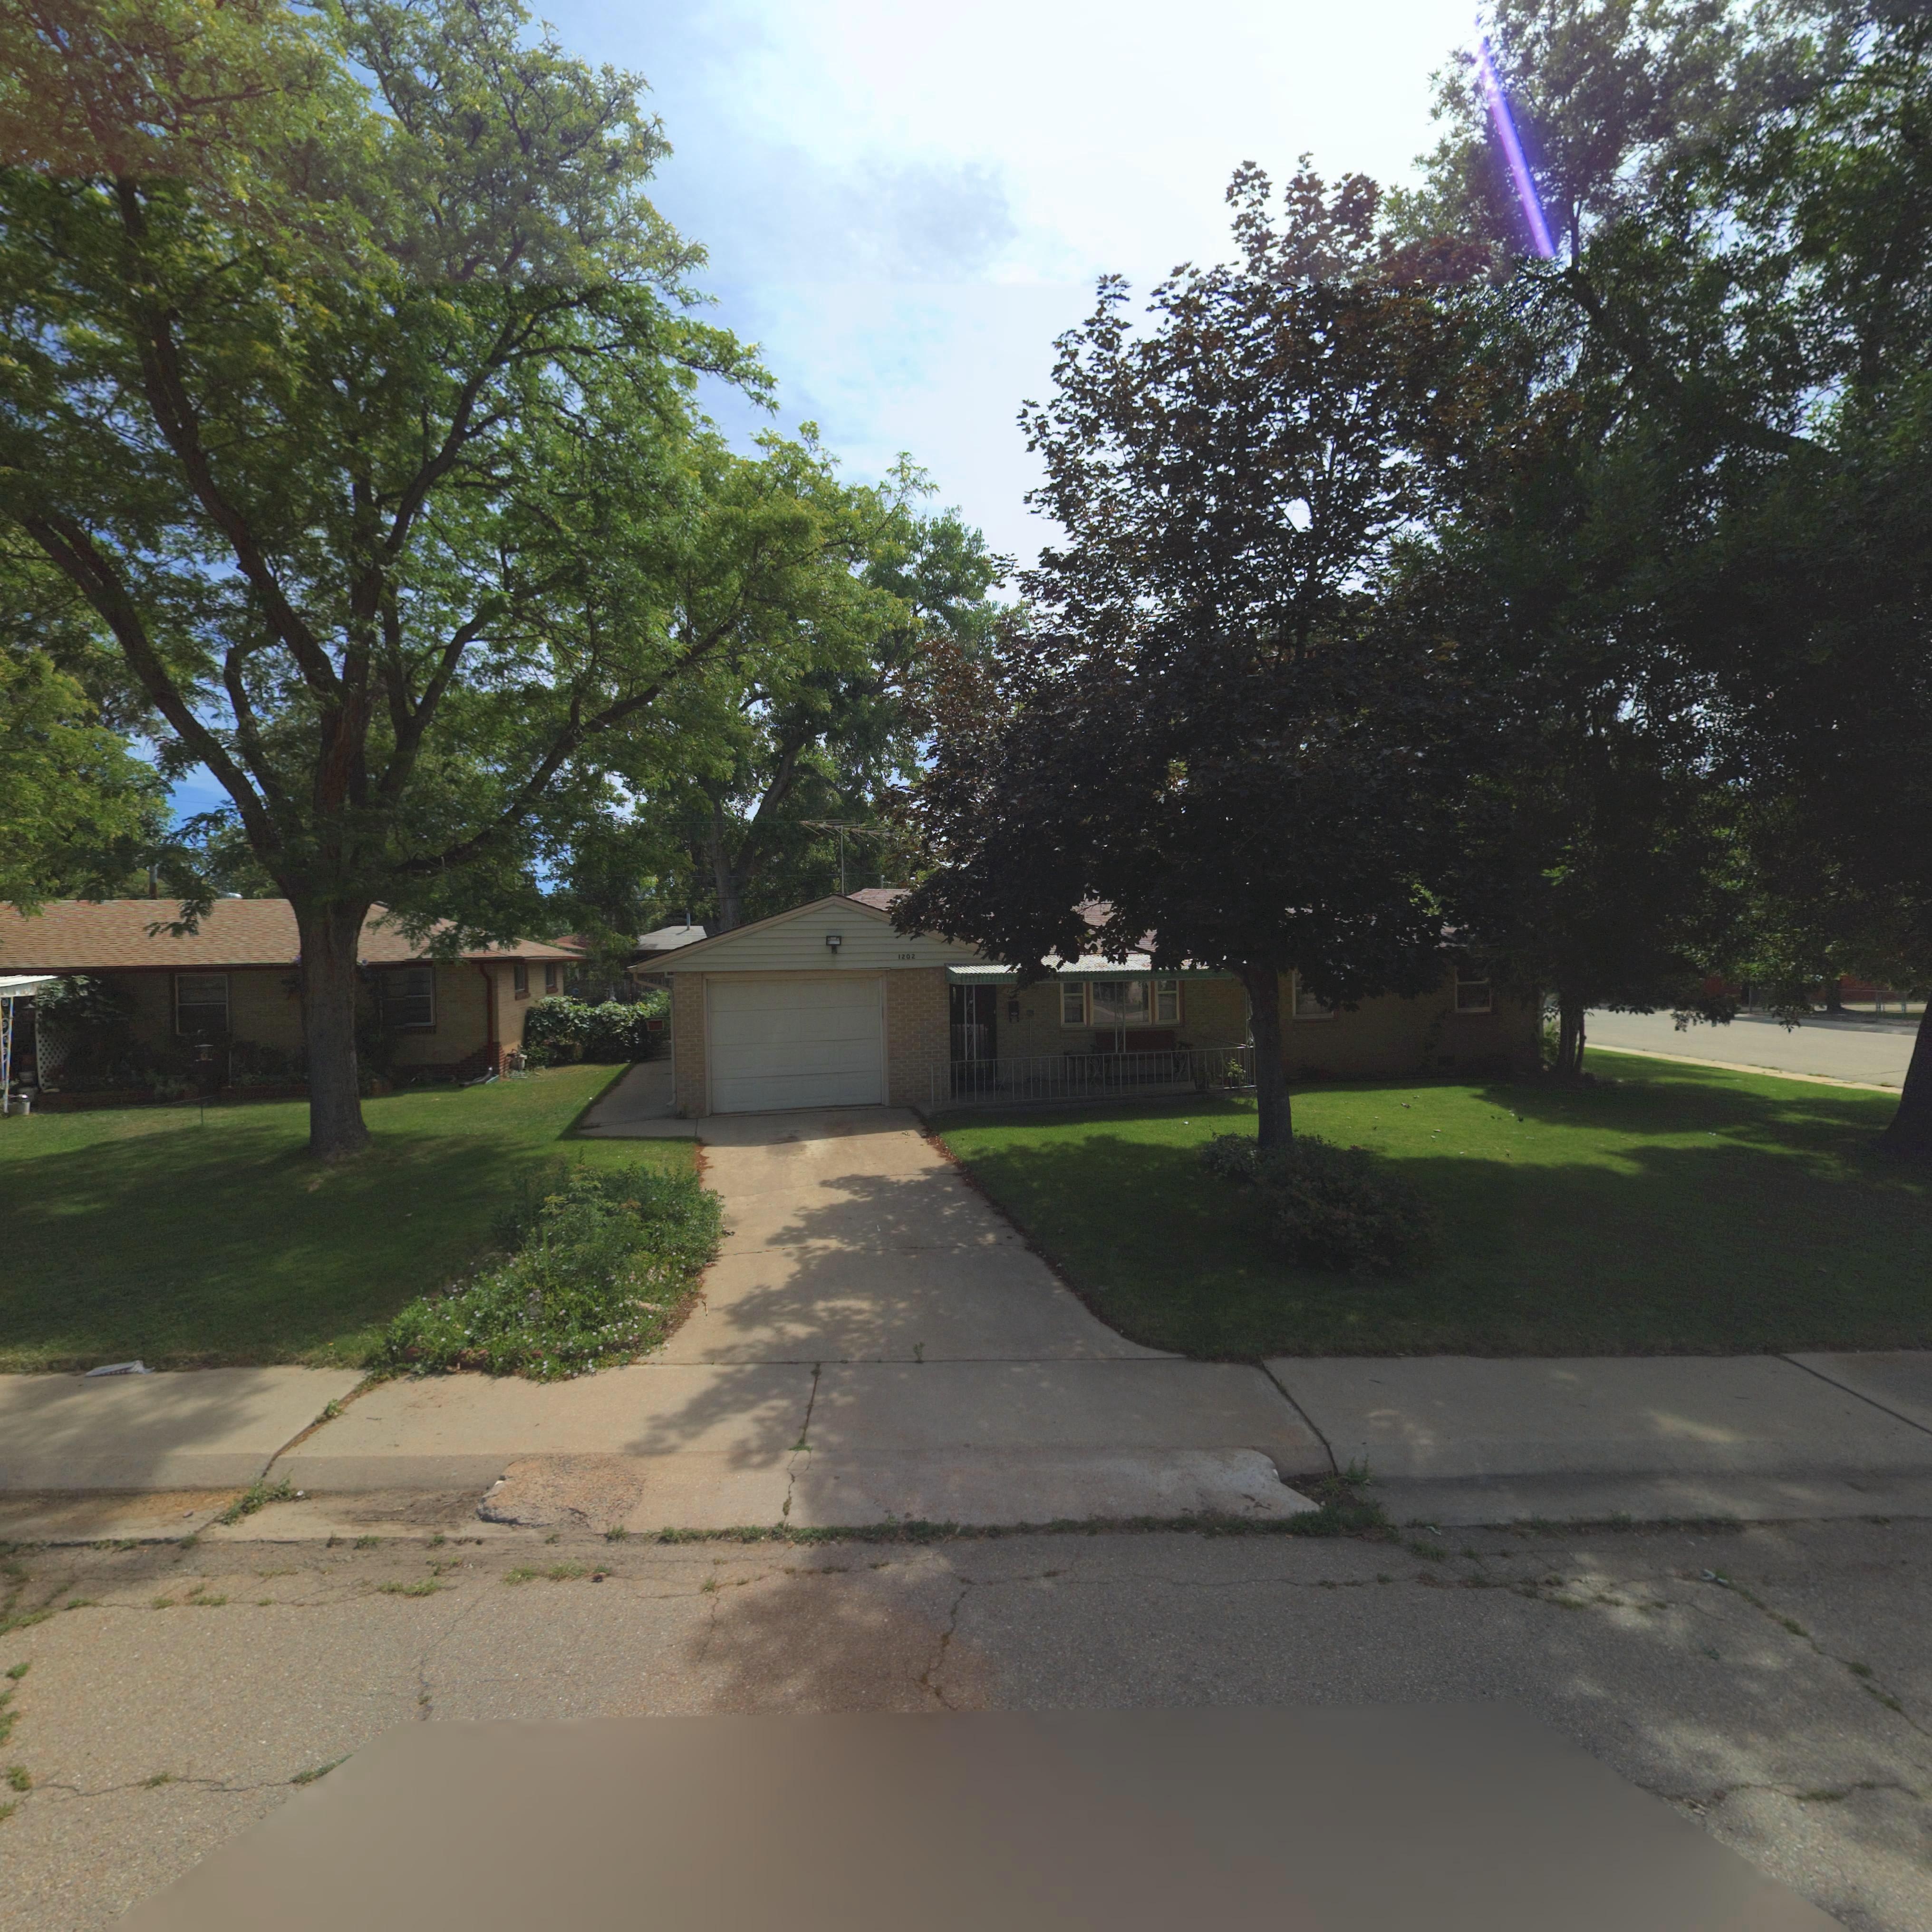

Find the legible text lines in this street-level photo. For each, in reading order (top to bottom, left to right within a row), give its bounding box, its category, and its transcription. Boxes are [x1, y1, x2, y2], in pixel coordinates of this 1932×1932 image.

[898, 954, 915, 959] StreetNumber: 1202
[1006, 988, 1028, 997] StreetNumber: 1***